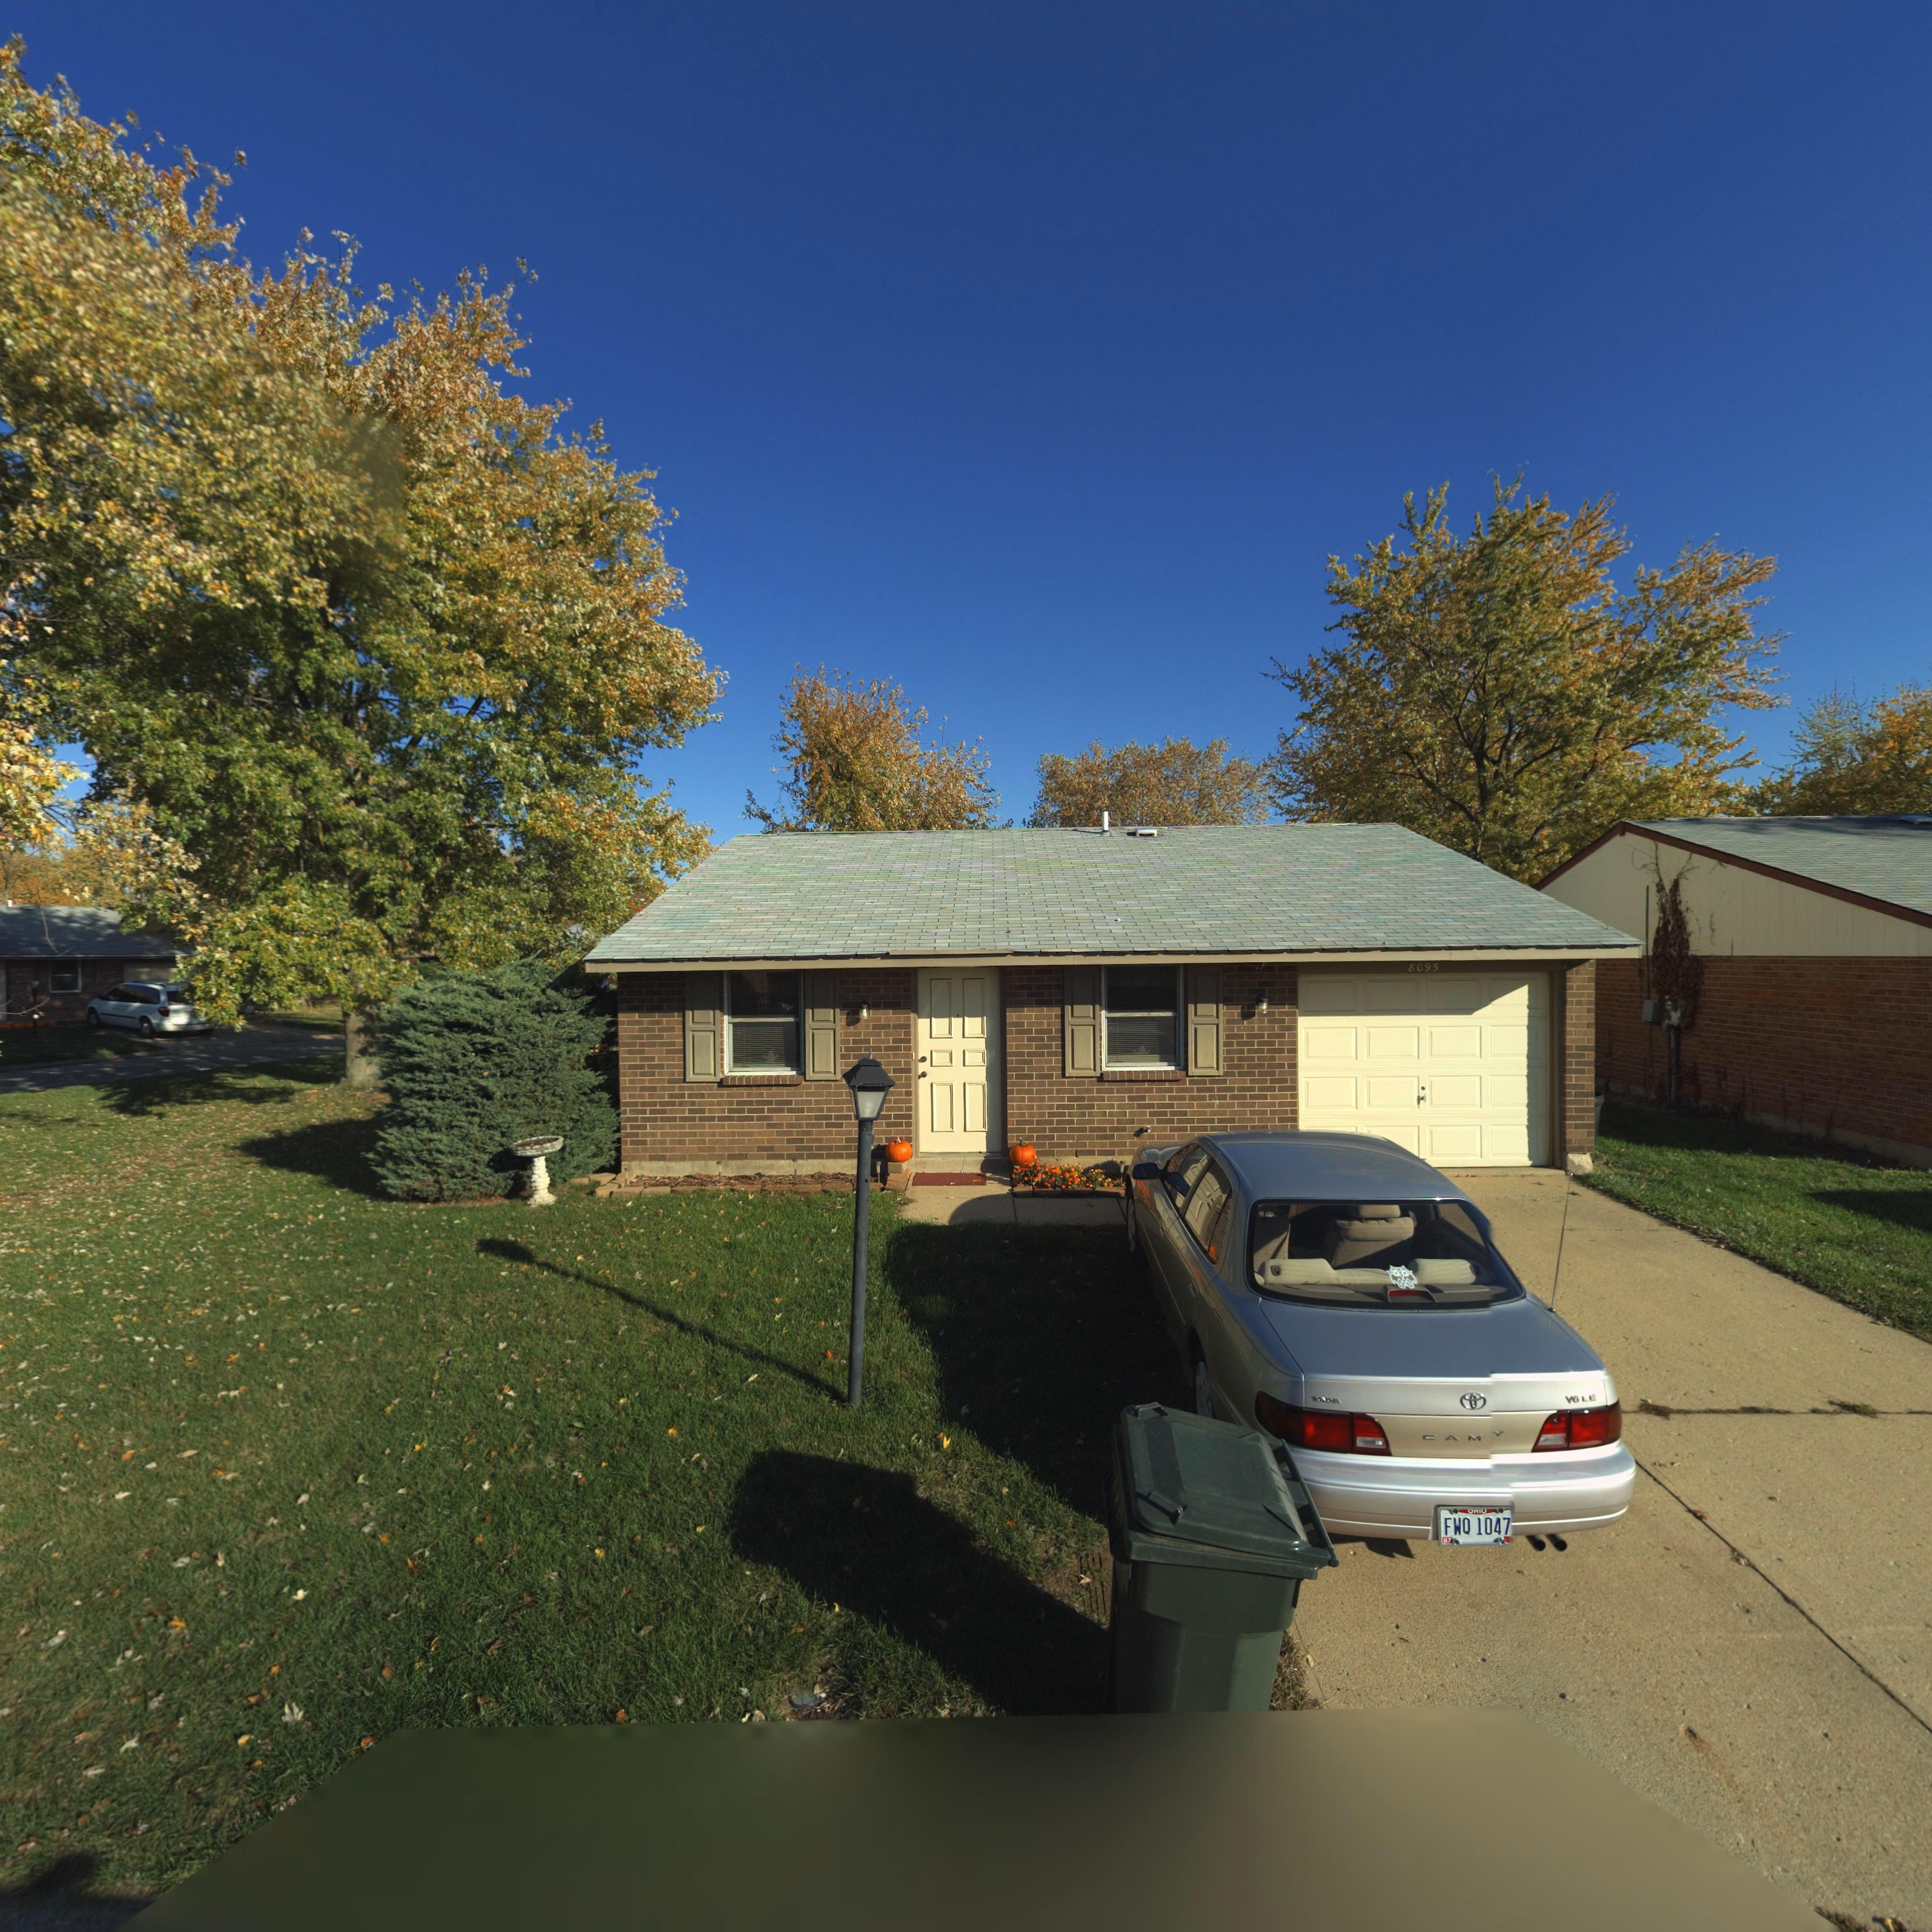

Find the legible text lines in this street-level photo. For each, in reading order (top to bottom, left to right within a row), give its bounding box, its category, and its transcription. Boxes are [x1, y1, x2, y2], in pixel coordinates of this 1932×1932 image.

[1407, 962, 1439, 974] StreetNumber: 8095